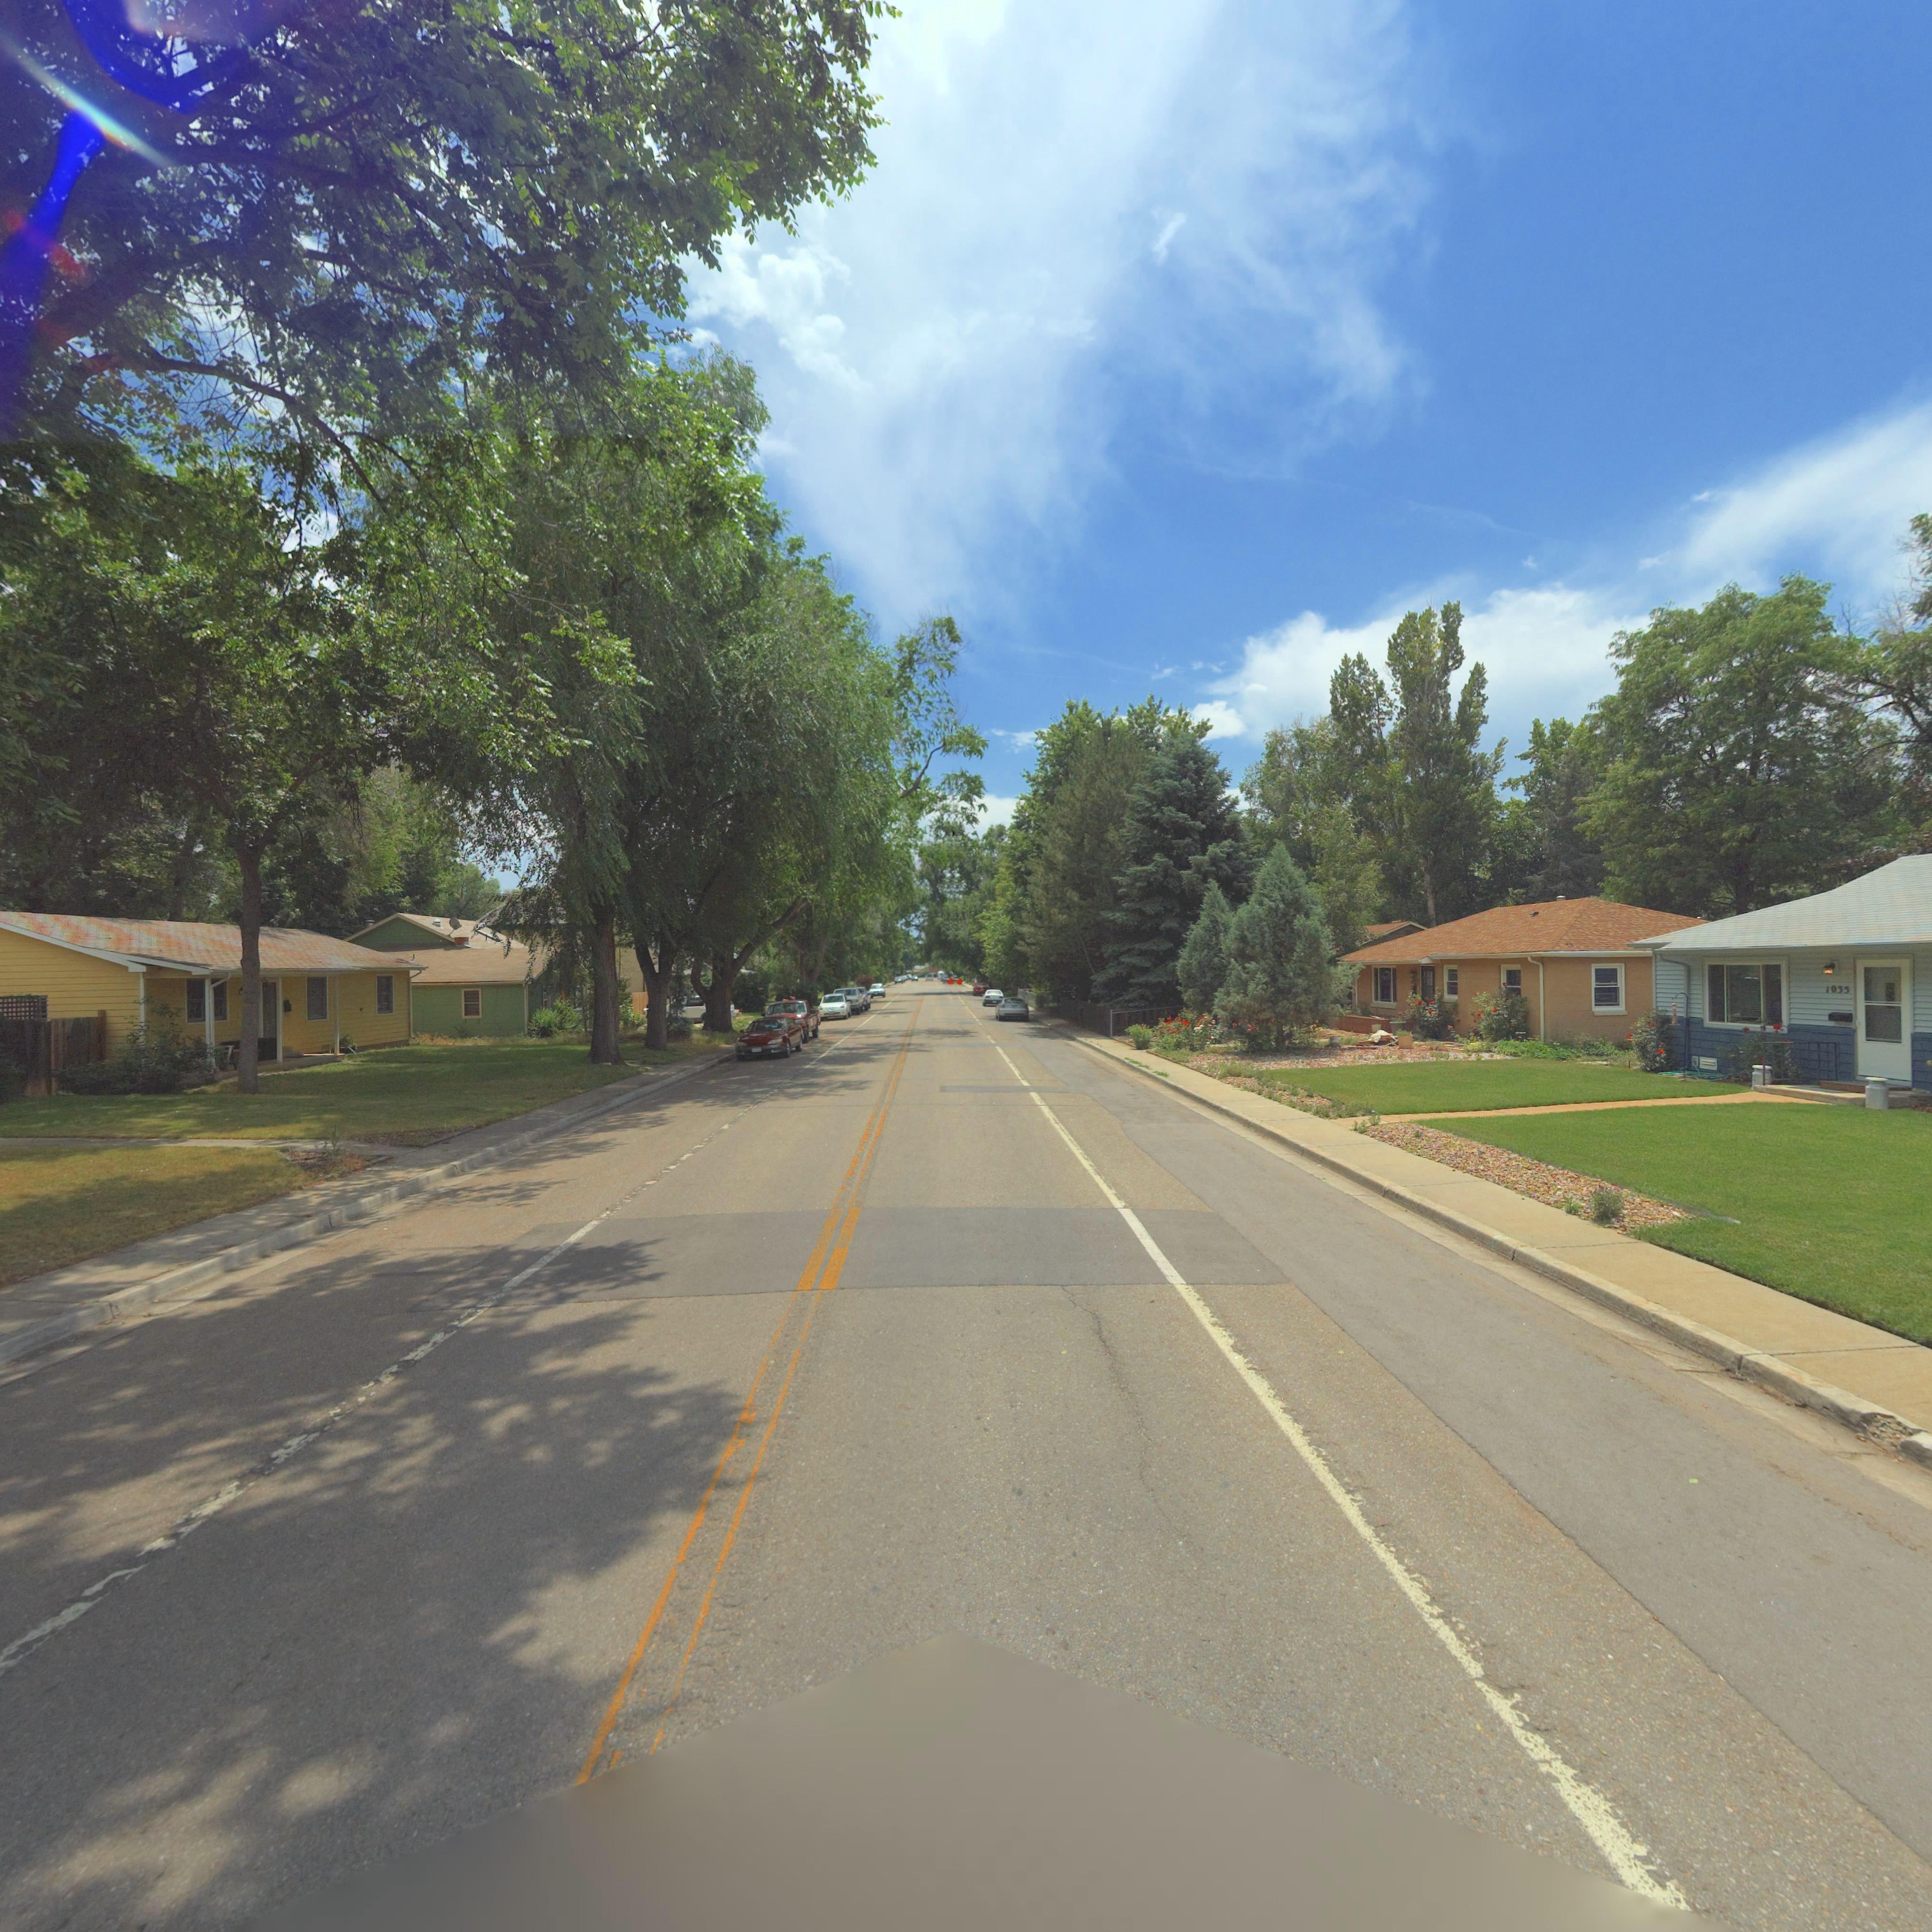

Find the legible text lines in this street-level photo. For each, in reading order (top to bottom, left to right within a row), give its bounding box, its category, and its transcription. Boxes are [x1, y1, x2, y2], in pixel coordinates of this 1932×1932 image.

[1826, 985, 1849, 994] StreetNumber: 1035